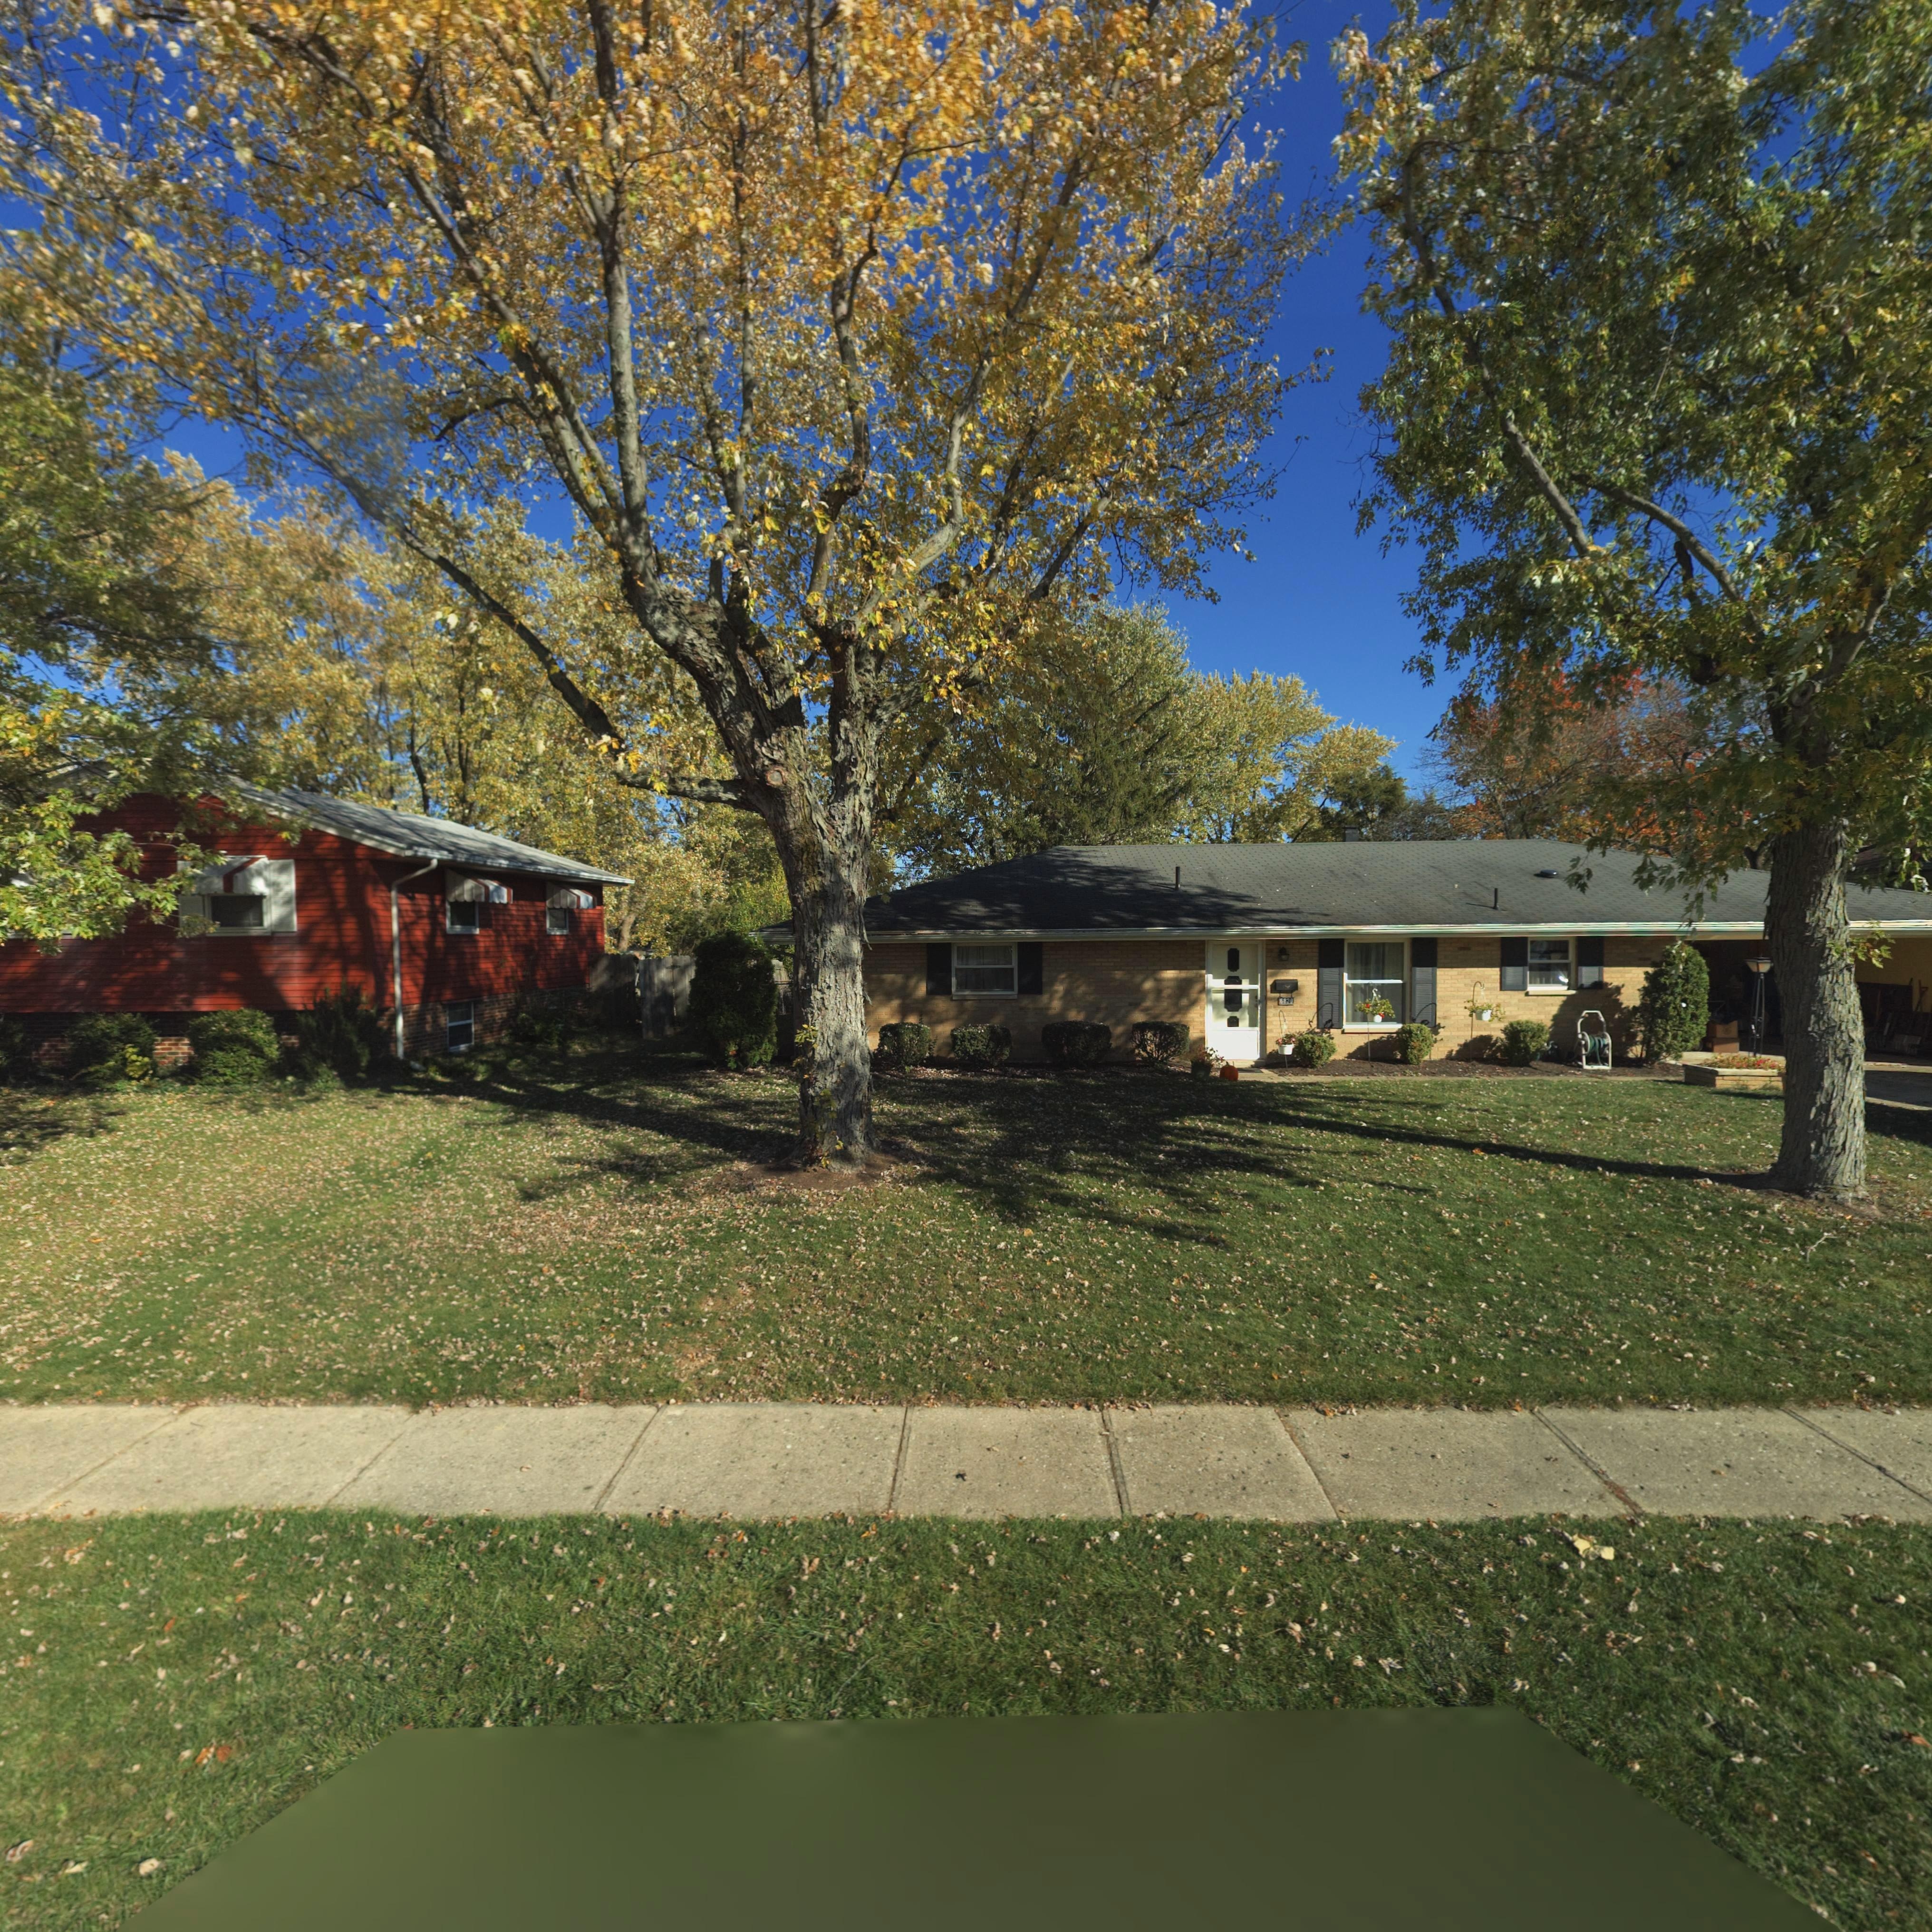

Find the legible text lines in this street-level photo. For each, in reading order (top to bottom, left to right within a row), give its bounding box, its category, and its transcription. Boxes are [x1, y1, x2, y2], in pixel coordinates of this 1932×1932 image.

[1279, 998, 1293, 1004] StreetNumber: 6820